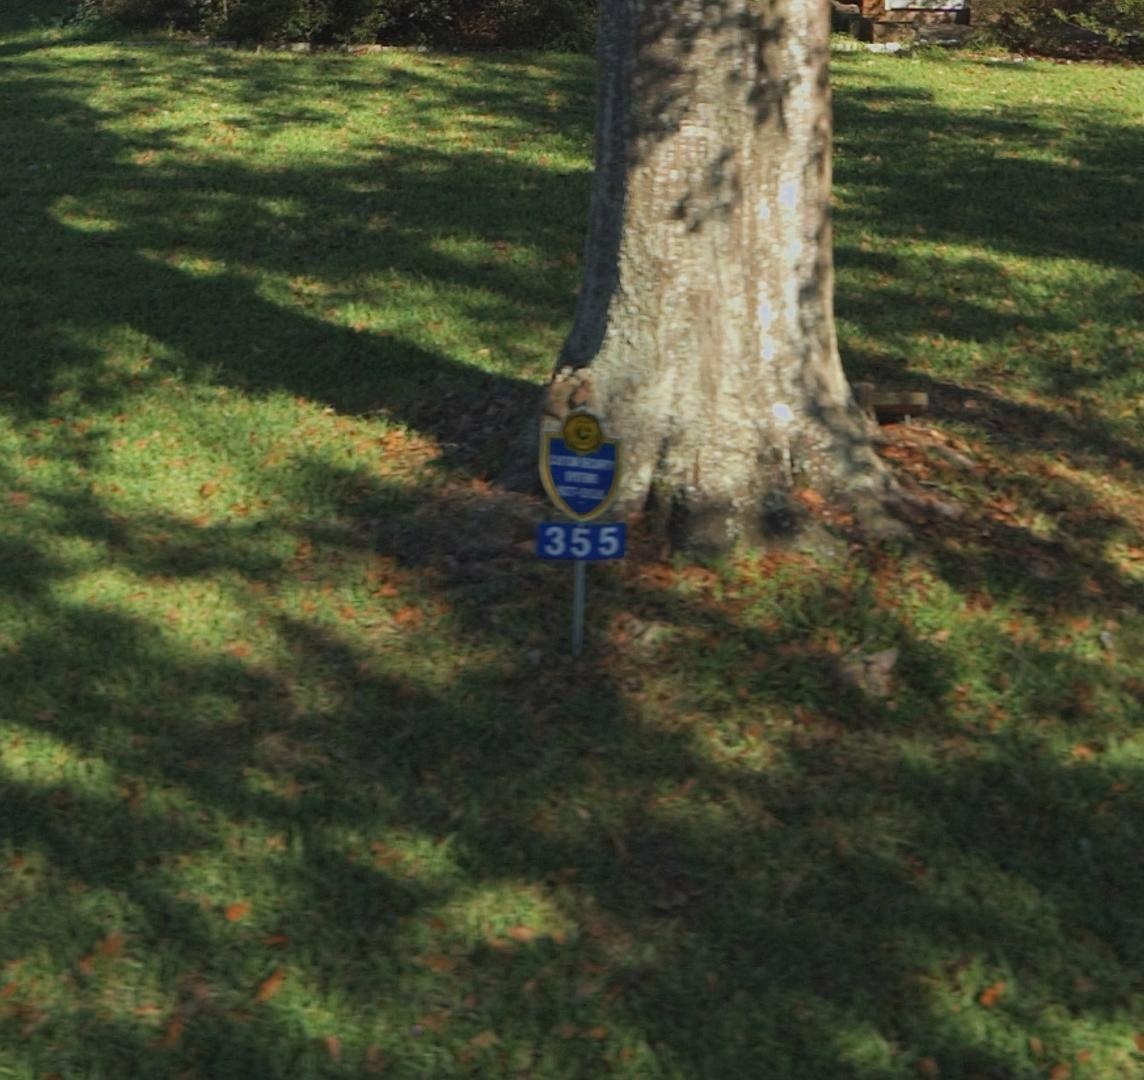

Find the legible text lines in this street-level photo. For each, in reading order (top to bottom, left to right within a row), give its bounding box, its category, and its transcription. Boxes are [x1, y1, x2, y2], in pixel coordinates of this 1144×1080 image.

[542, 524, 622, 559] StreetNumber: 355